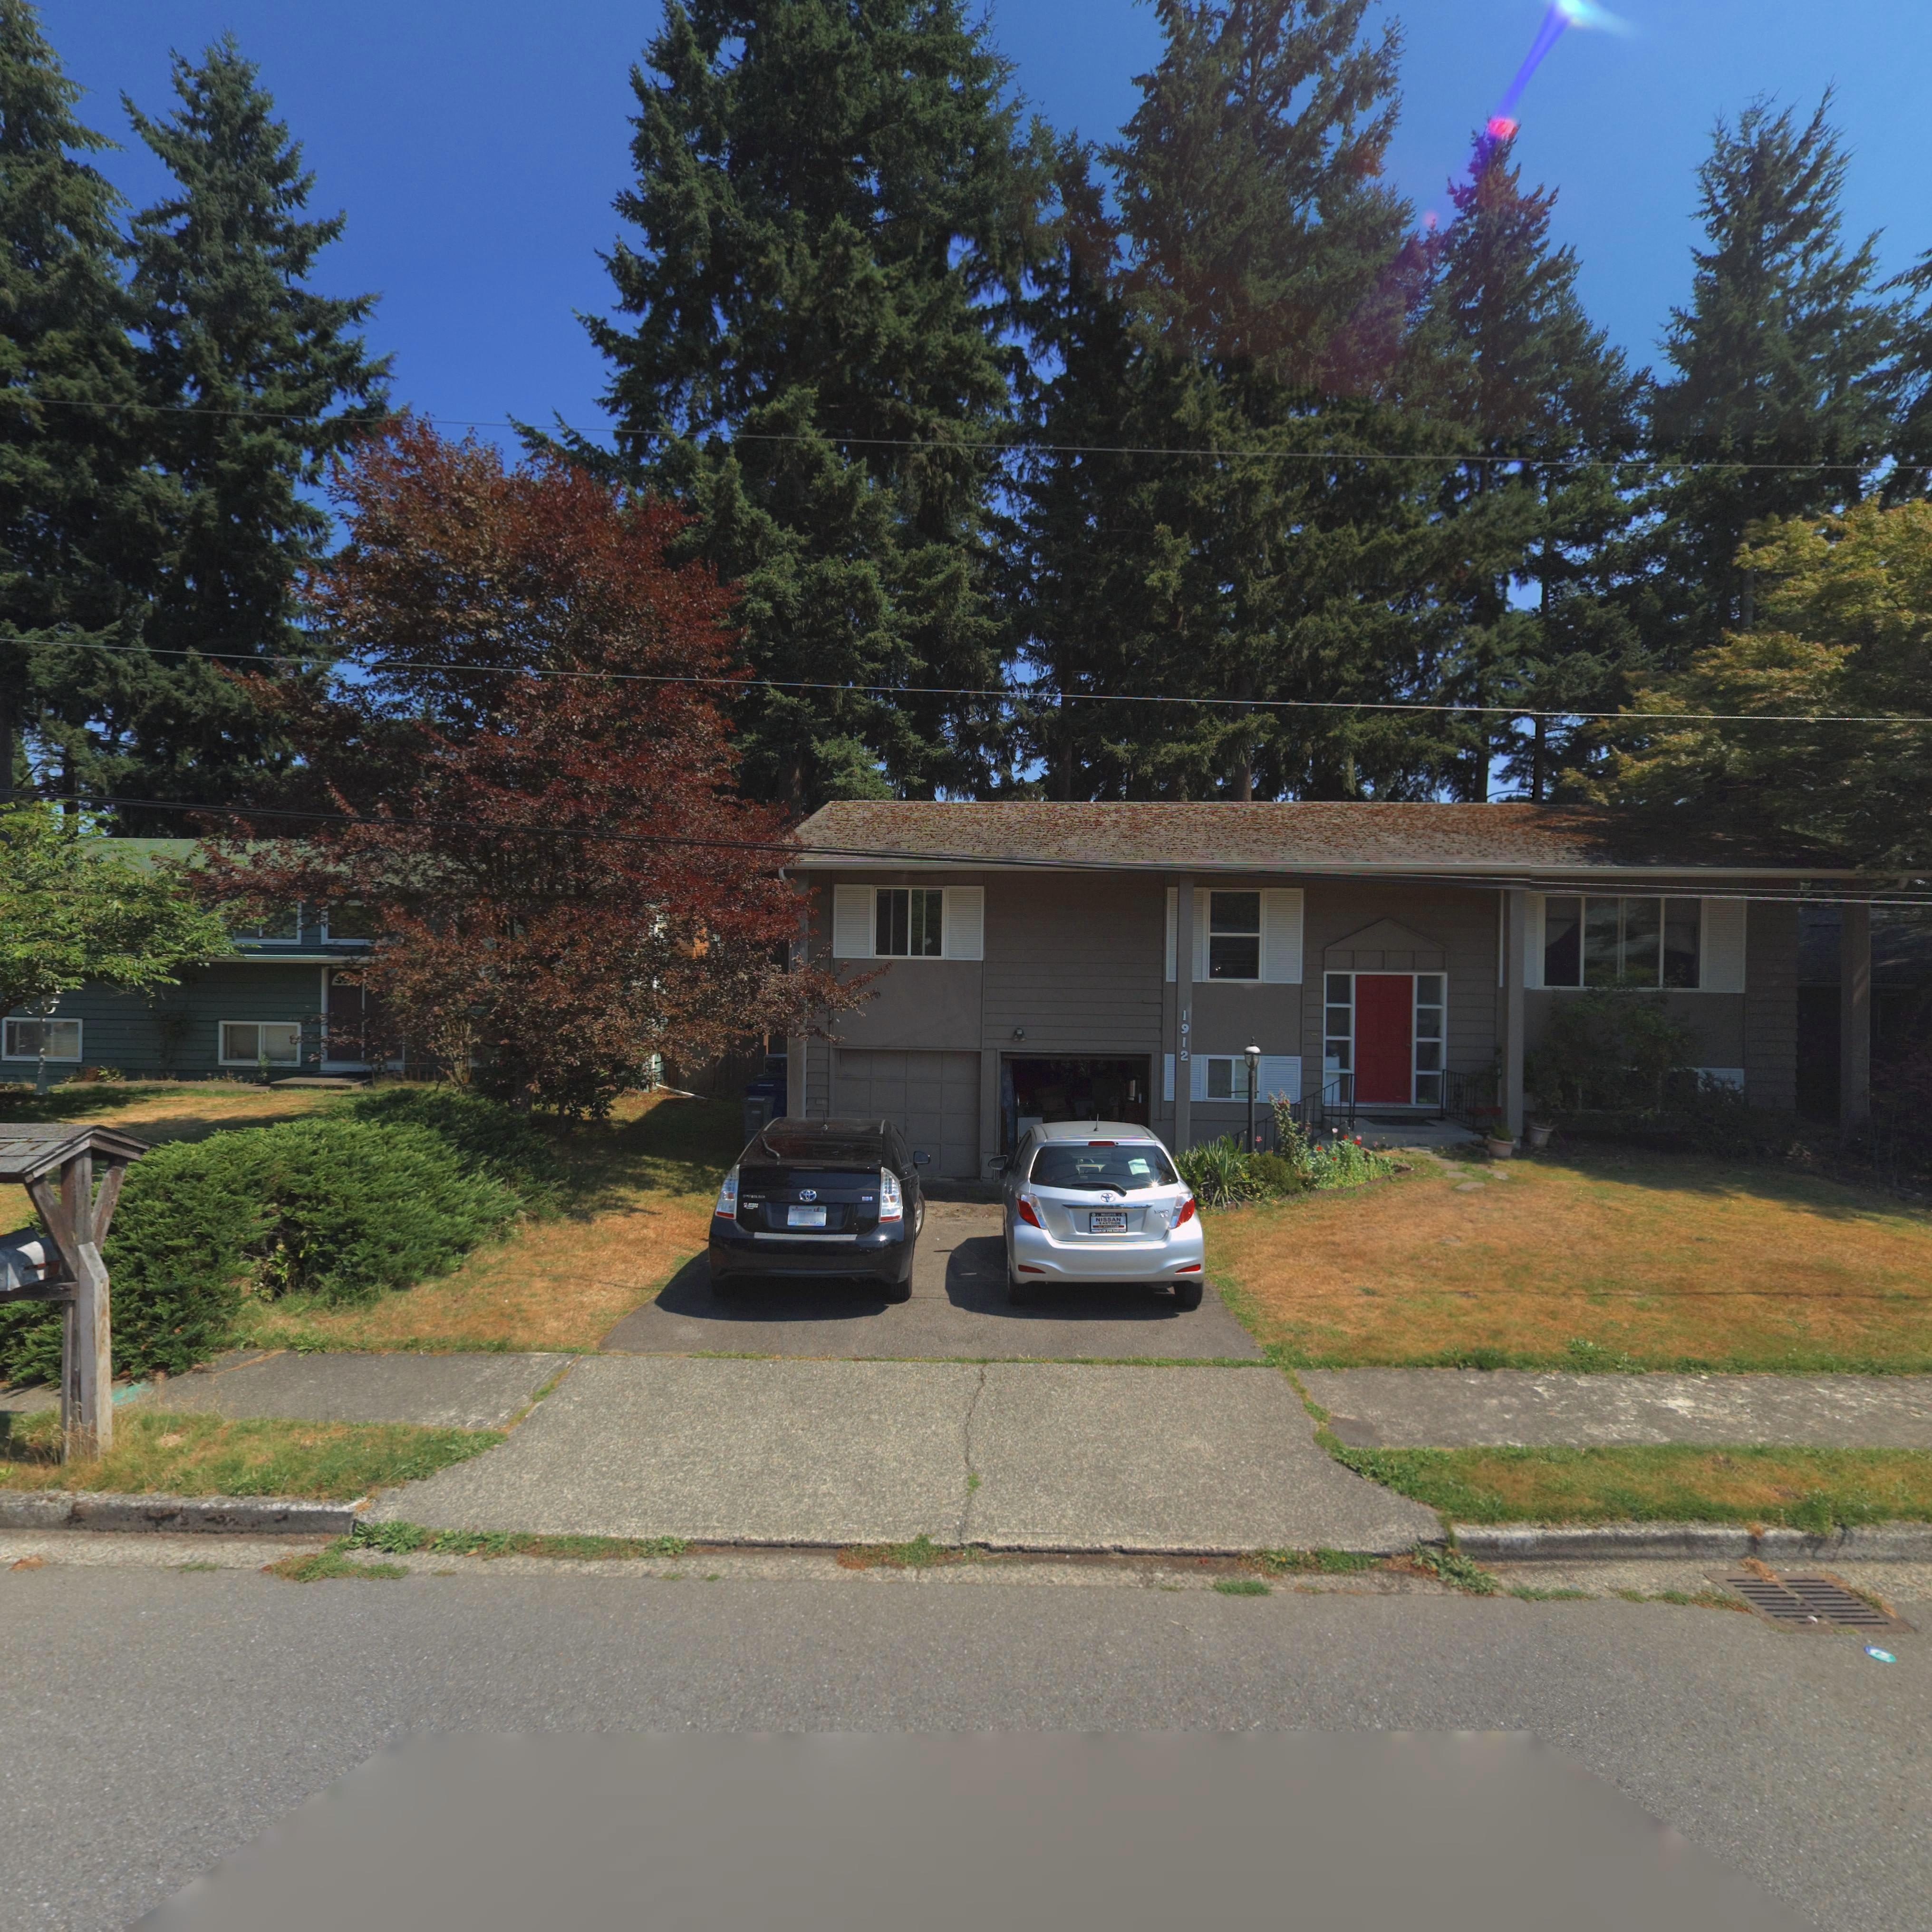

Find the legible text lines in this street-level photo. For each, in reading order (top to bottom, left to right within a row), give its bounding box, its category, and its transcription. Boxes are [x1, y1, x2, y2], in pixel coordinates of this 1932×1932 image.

[1180, 1009, 1189, 1061] StreetNumber: 1912